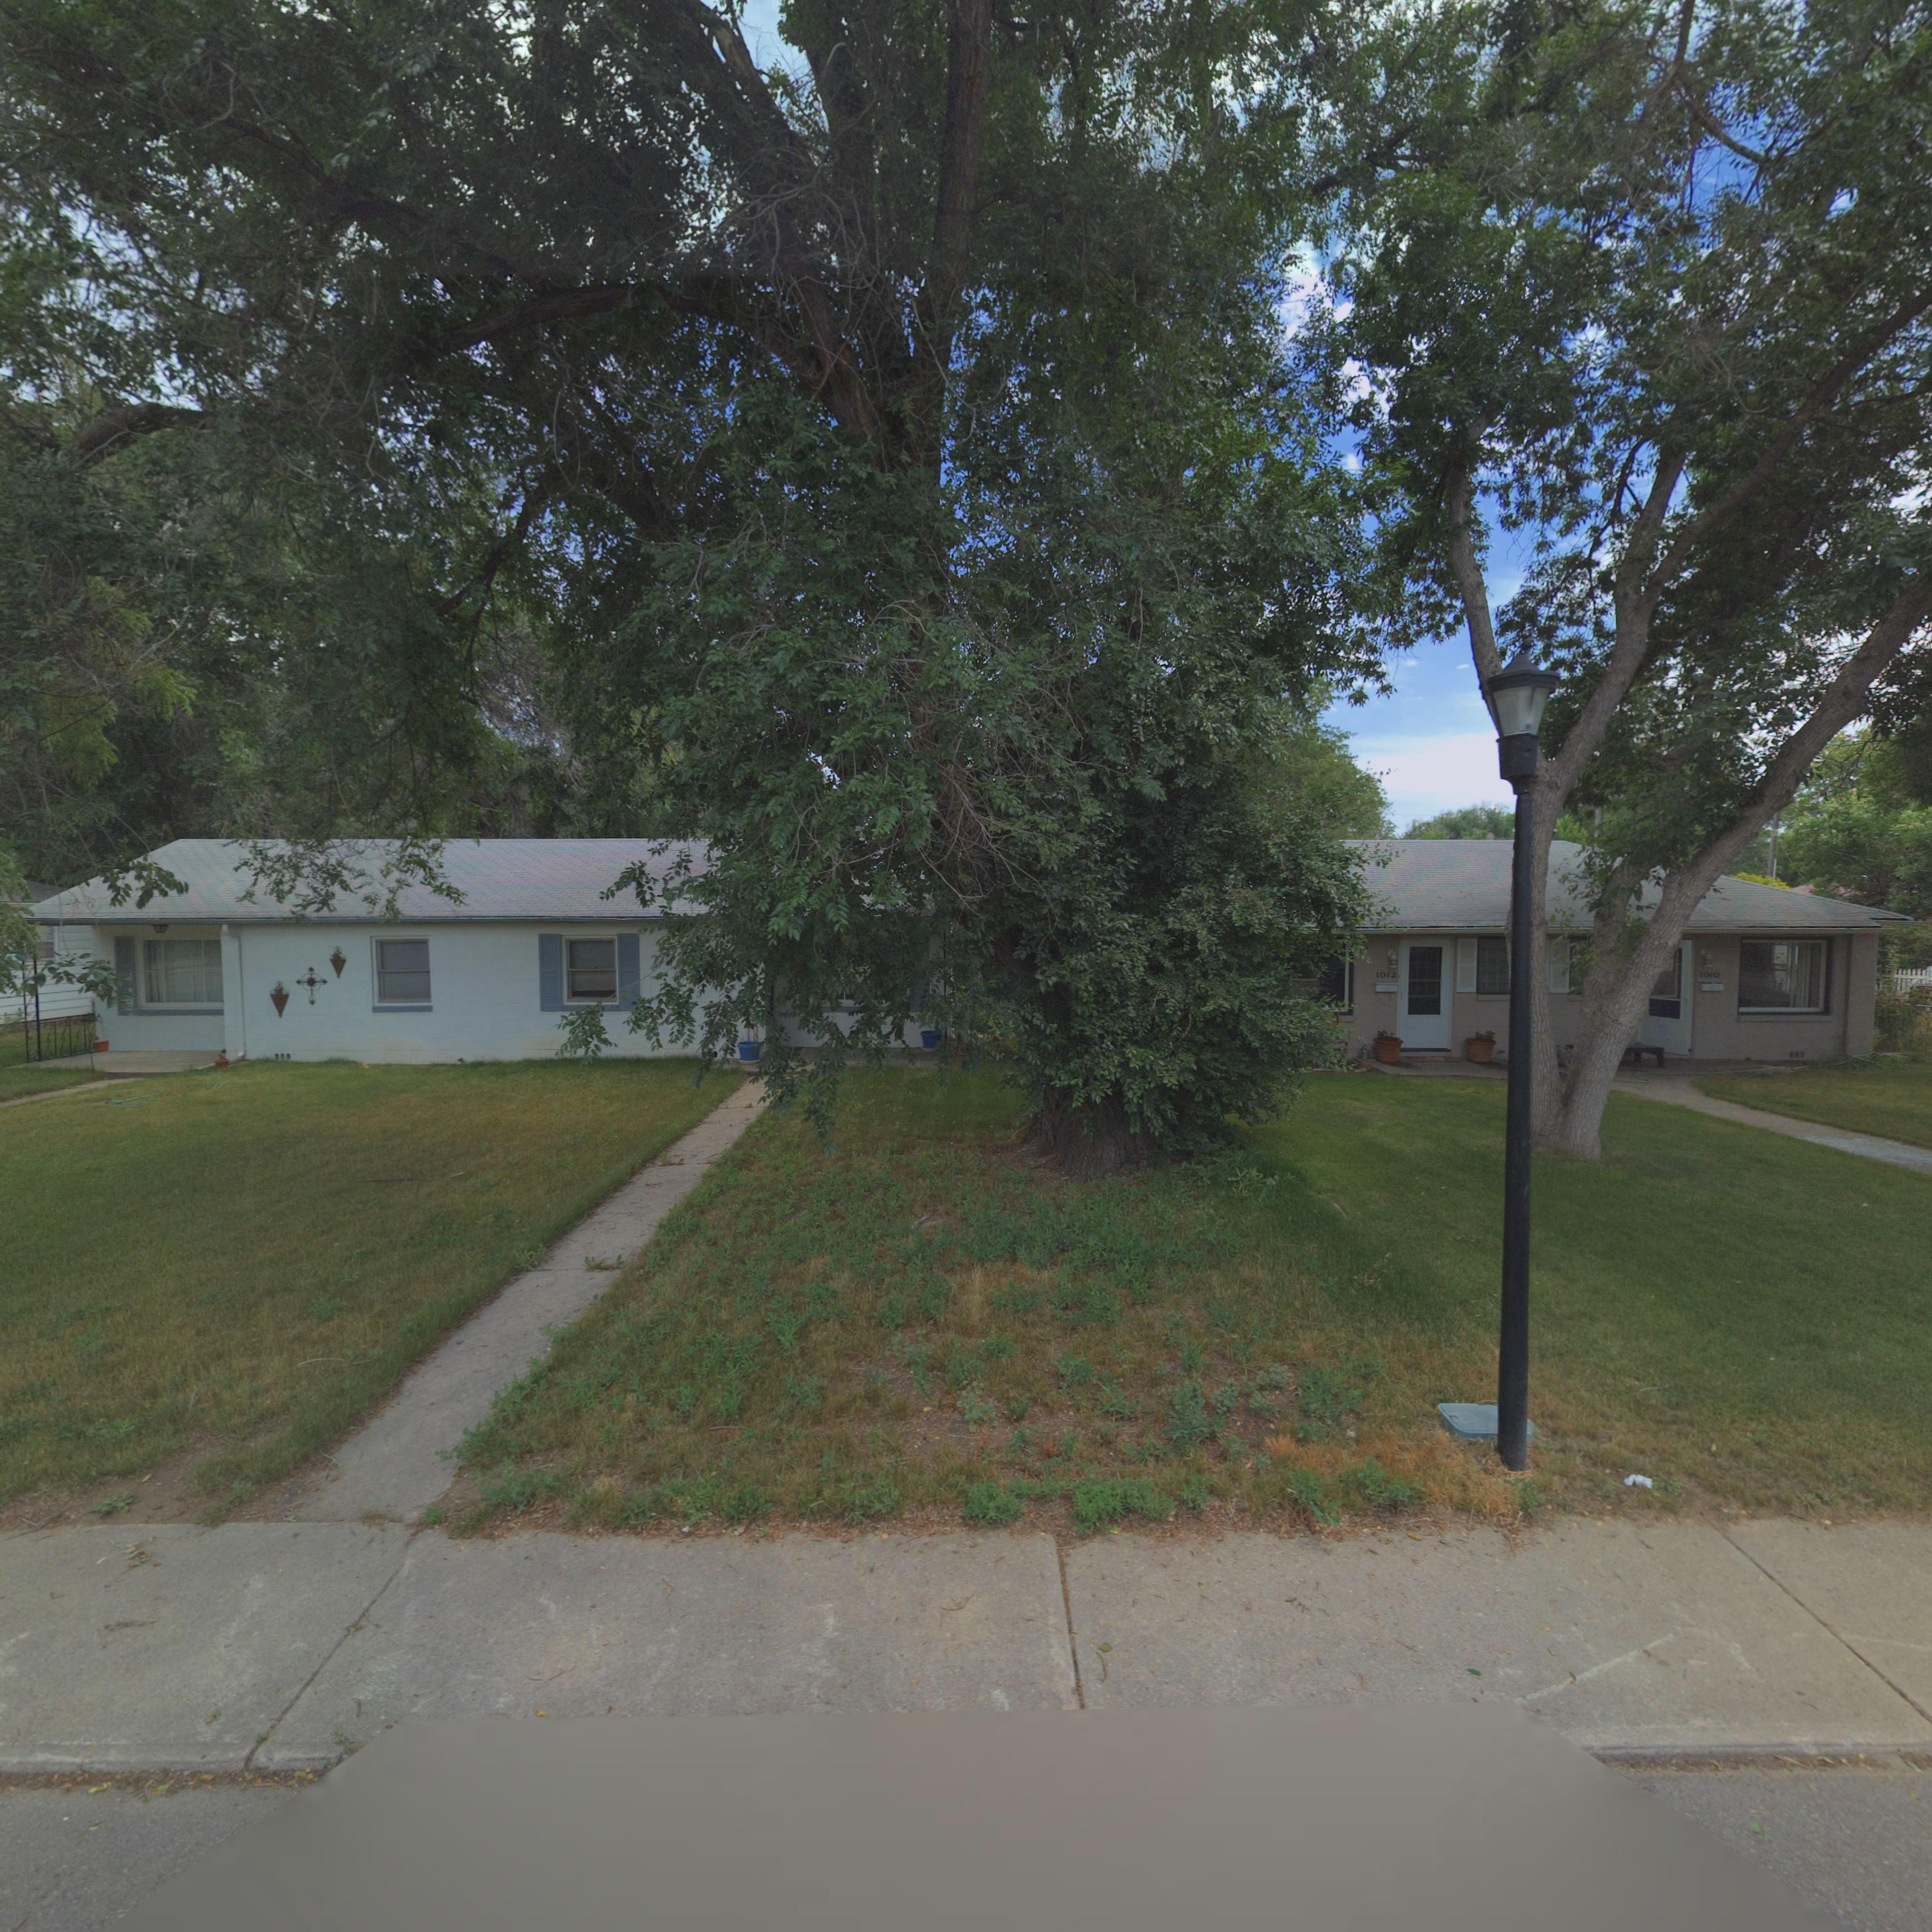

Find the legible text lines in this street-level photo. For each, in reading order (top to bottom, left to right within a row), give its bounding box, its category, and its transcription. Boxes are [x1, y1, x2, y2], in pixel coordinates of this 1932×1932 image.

[1376, 971, 1397, 978] StreetNumber: 1012
[1699, 971, 1720, 978] StreetNumber: 1010